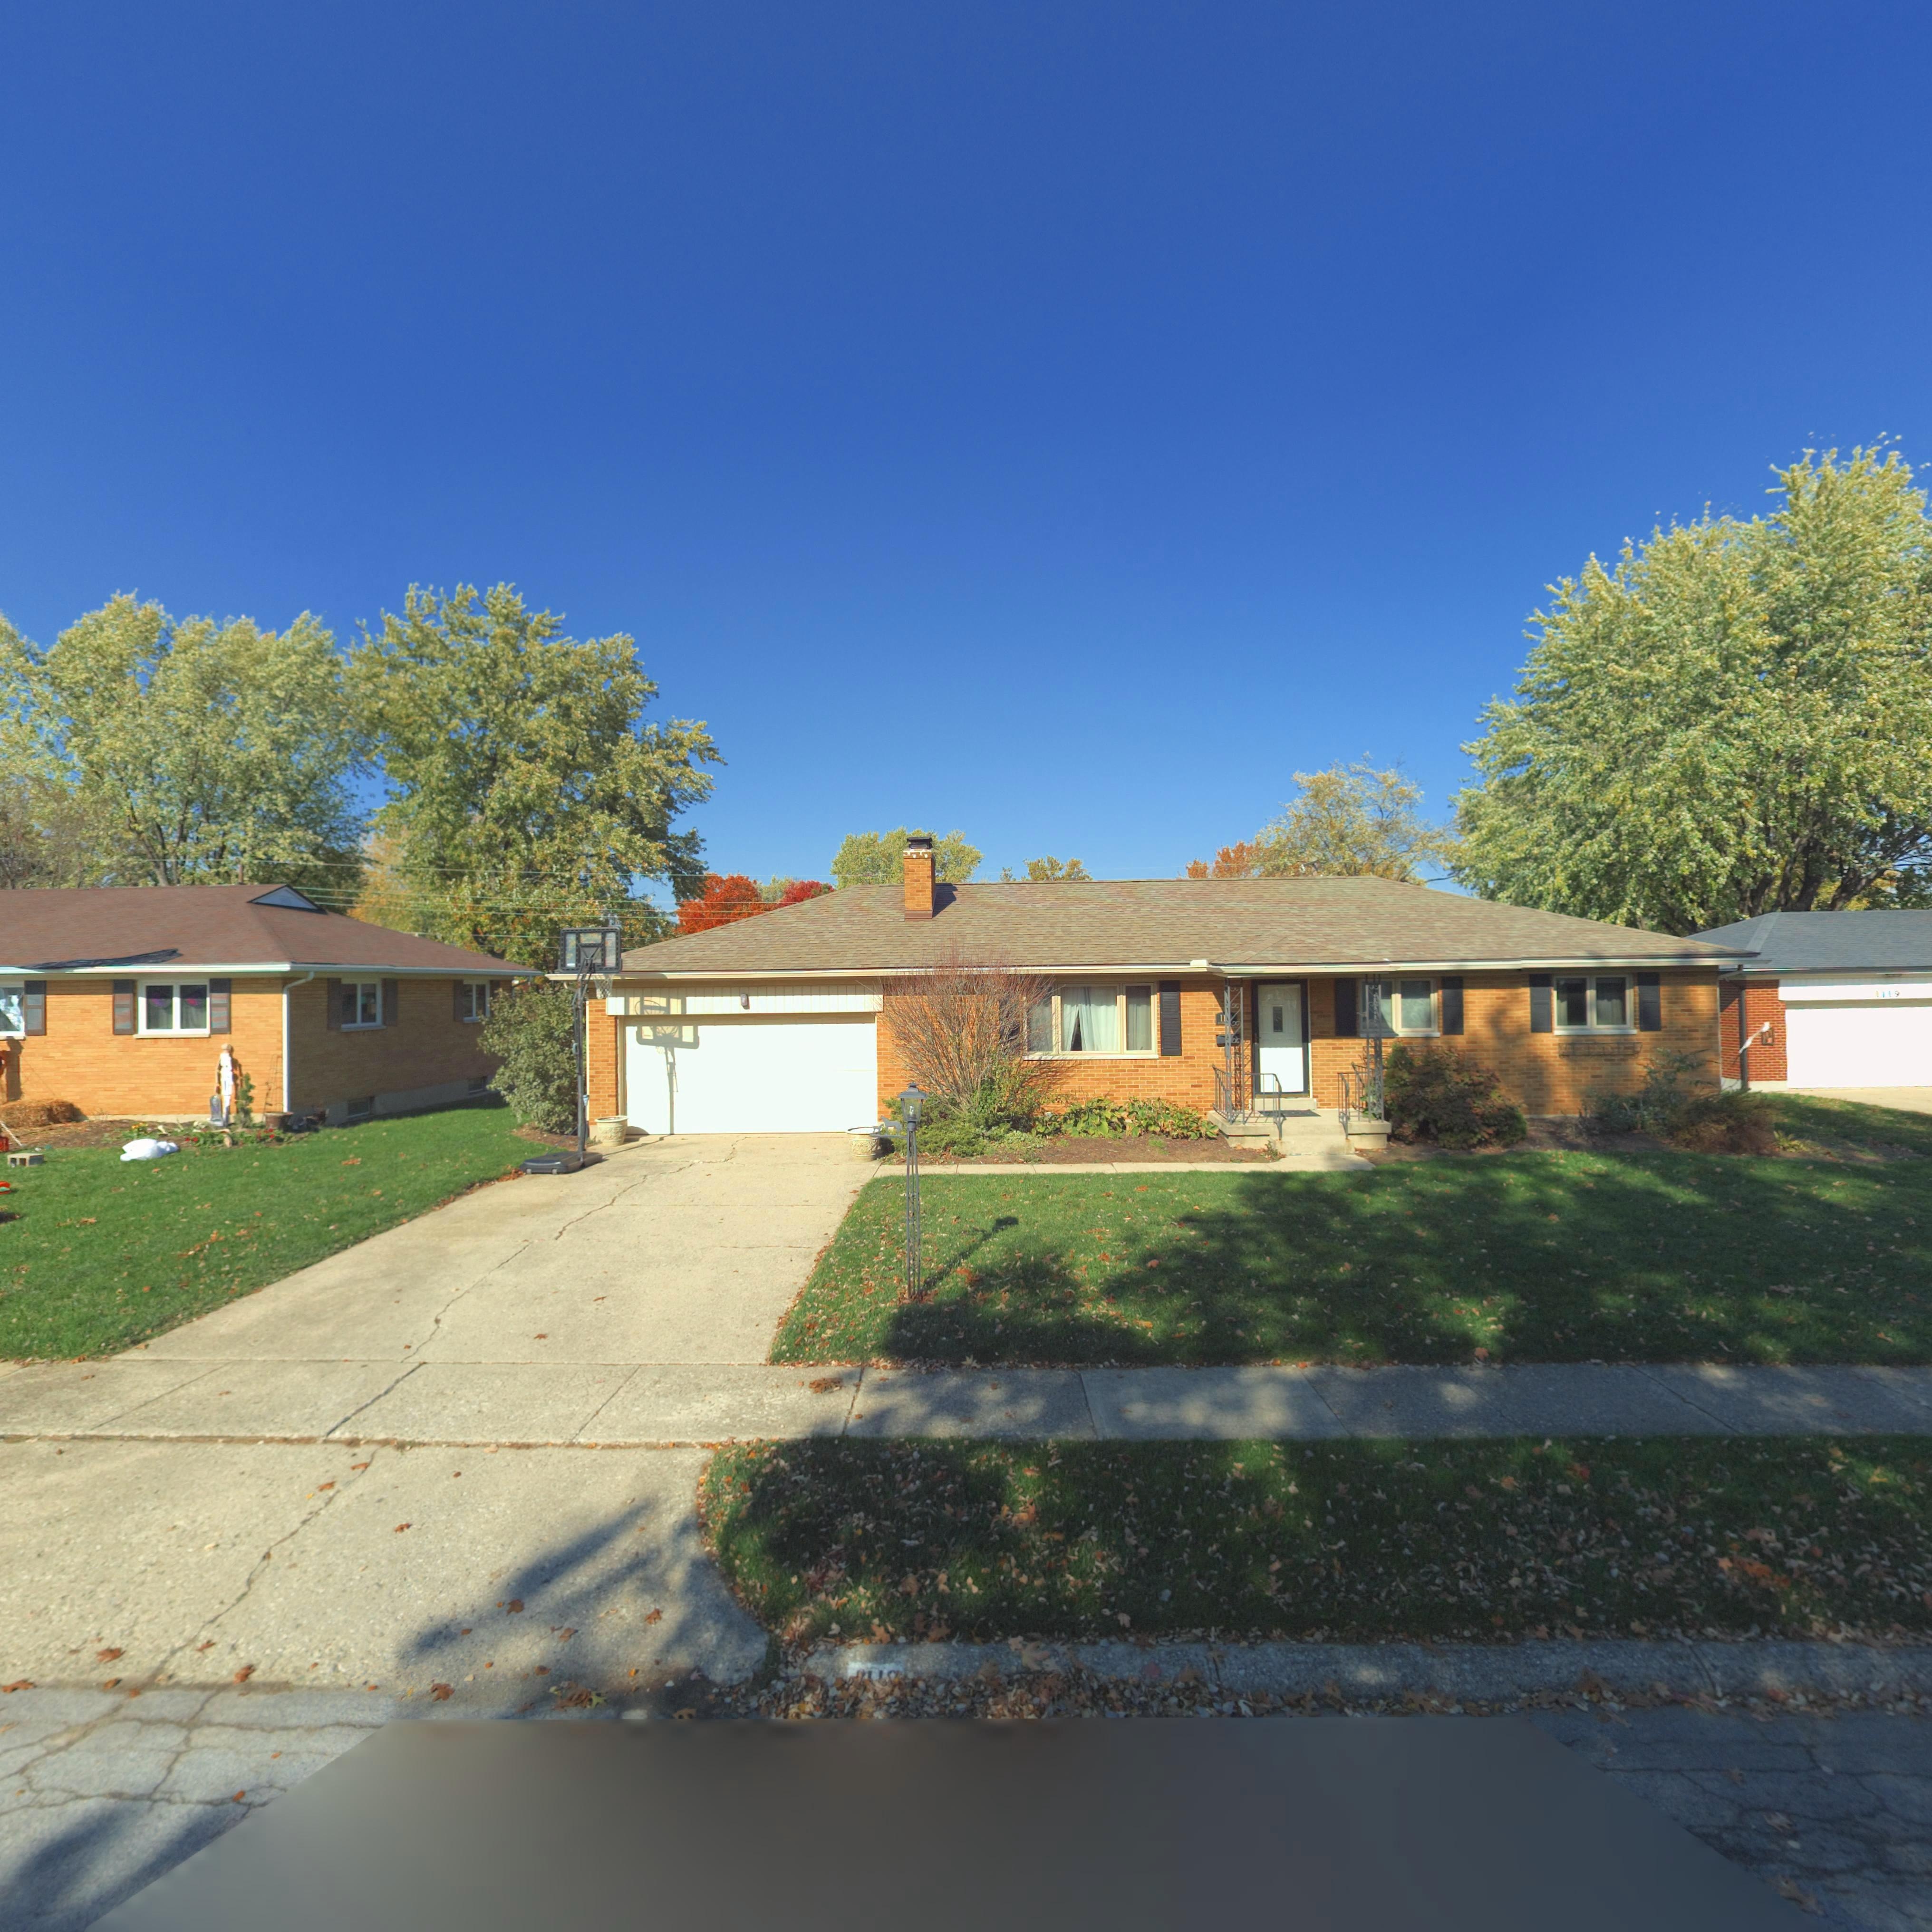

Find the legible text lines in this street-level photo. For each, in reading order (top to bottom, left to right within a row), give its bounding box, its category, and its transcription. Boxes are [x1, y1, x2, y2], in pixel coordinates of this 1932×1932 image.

[1874, 990, 1900, 998] StreetNumber: 1119
[1218, 1014, 1234, 1023] StreetNumber: 1113